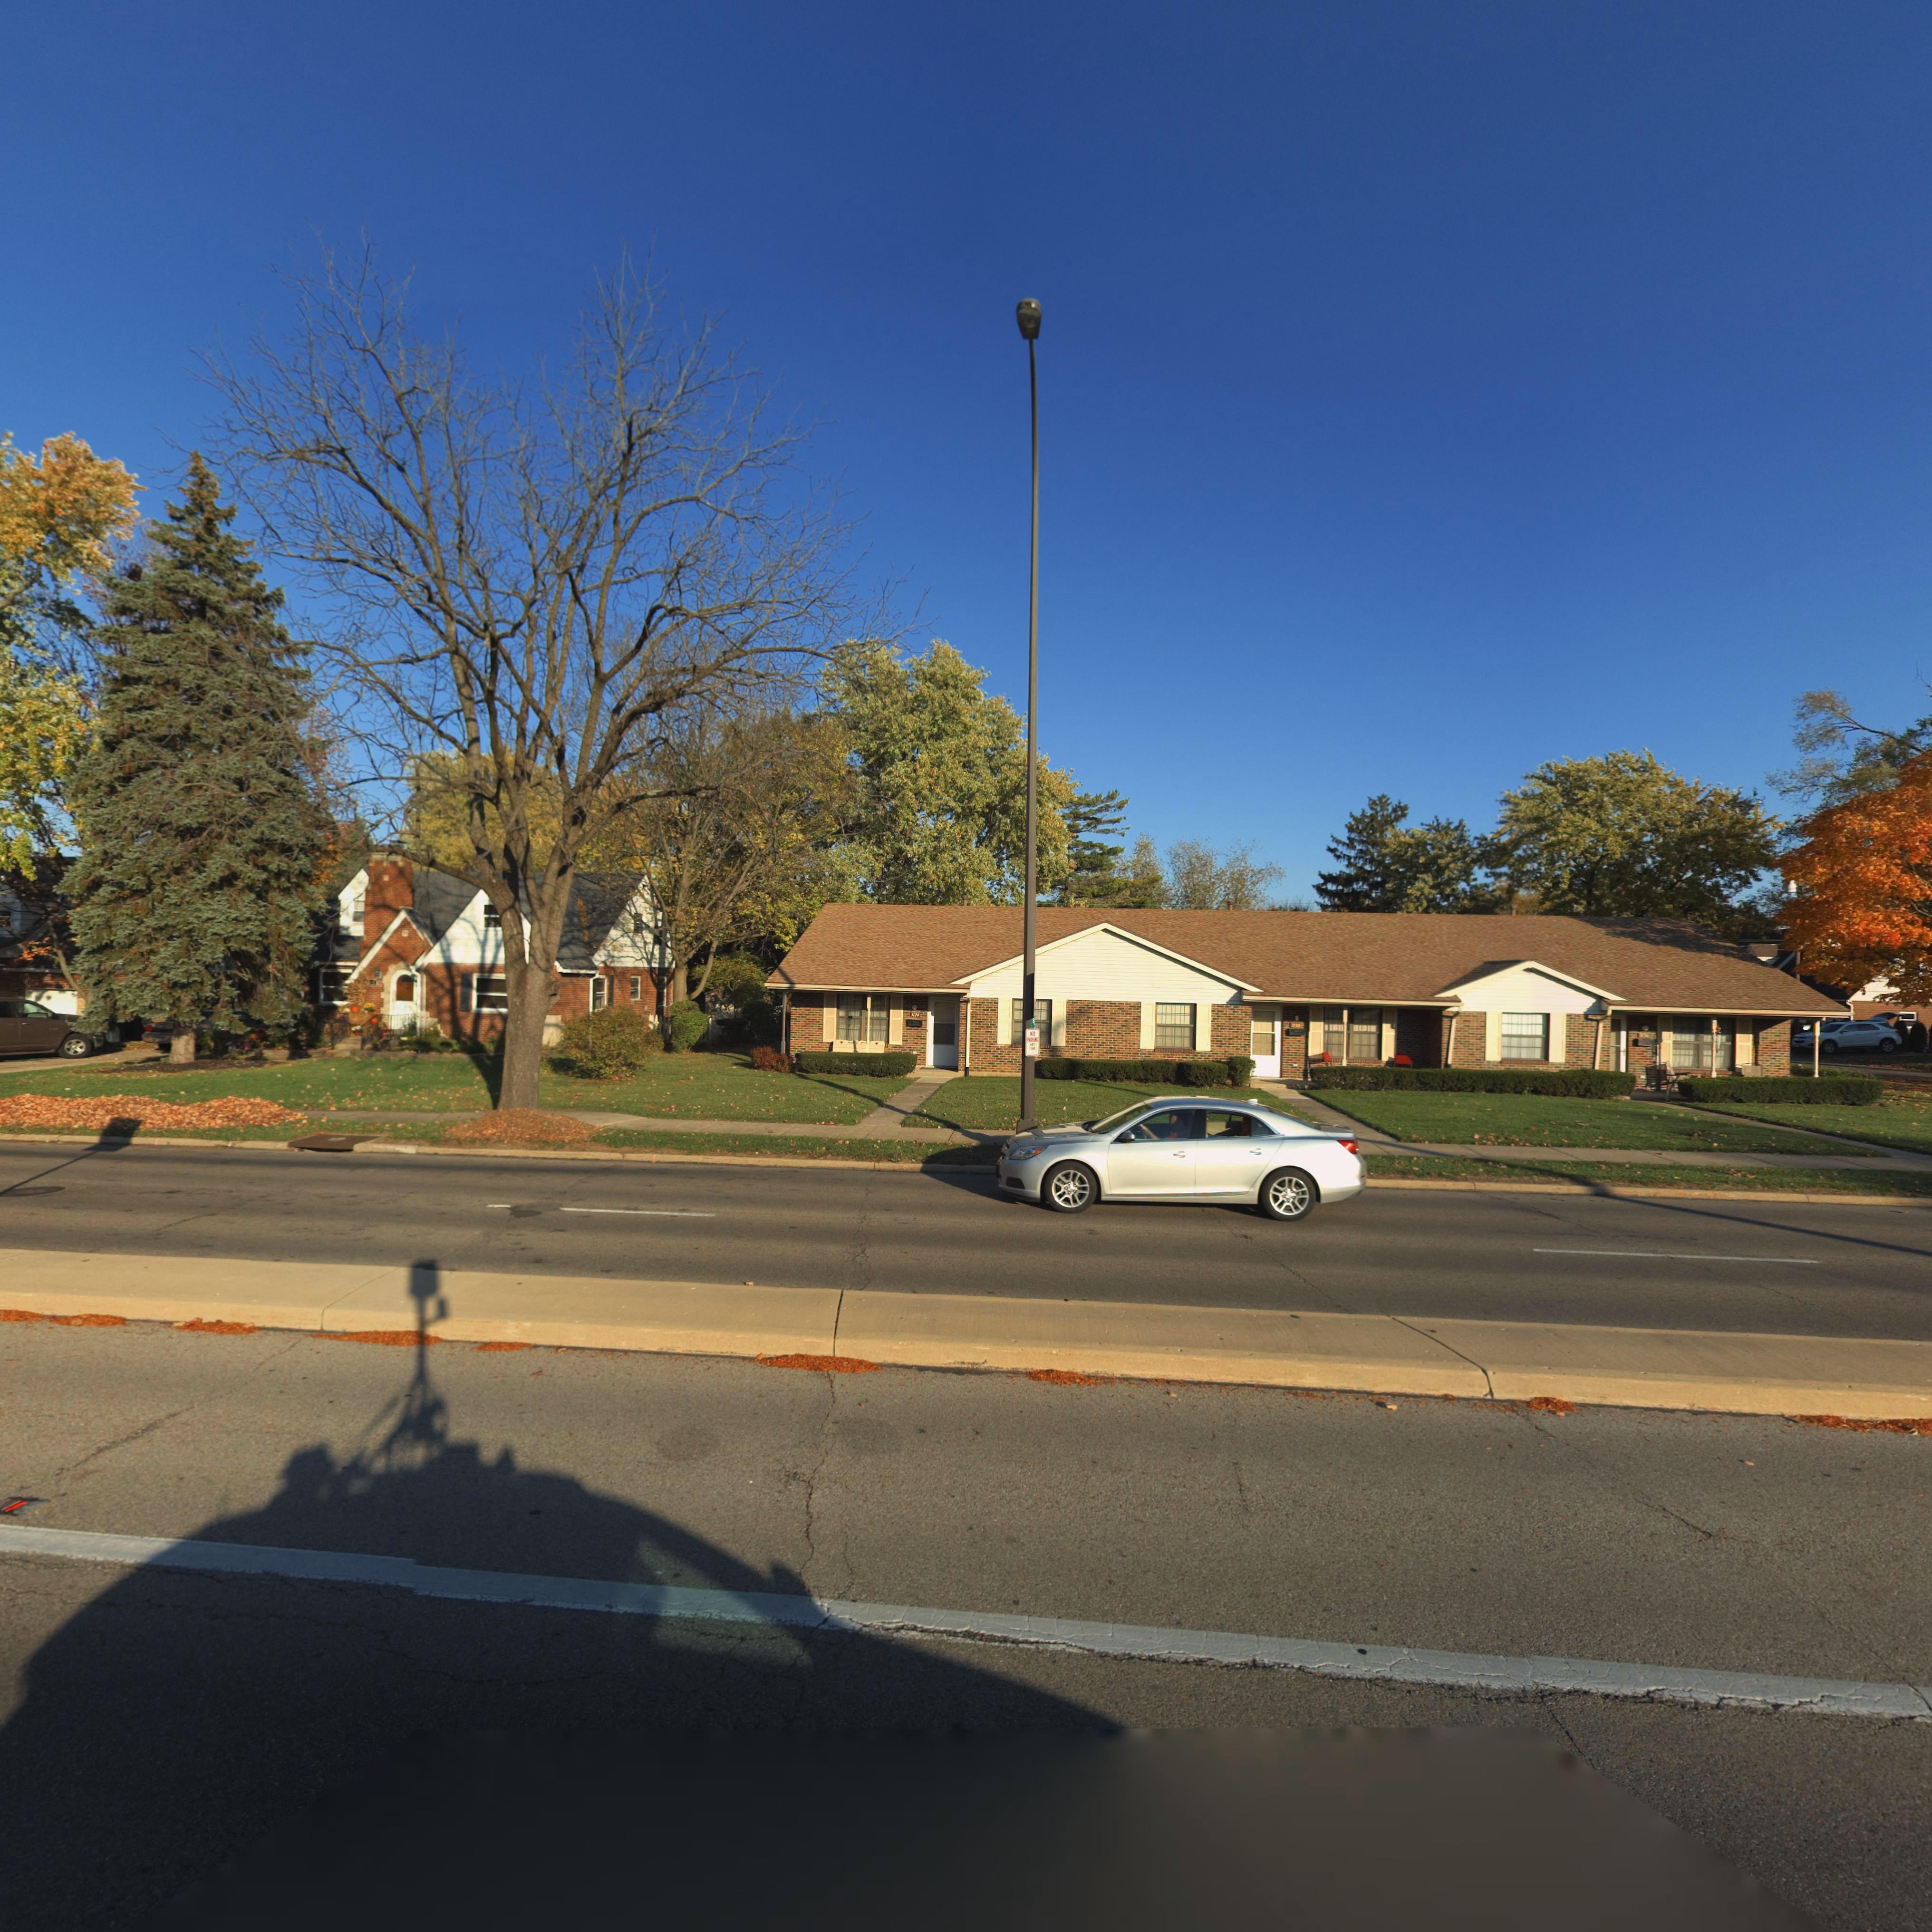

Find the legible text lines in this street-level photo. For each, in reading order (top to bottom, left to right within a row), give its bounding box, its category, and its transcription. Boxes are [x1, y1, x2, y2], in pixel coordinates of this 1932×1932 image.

[910, 1013, 920, 1017] StreetNumber: 3124